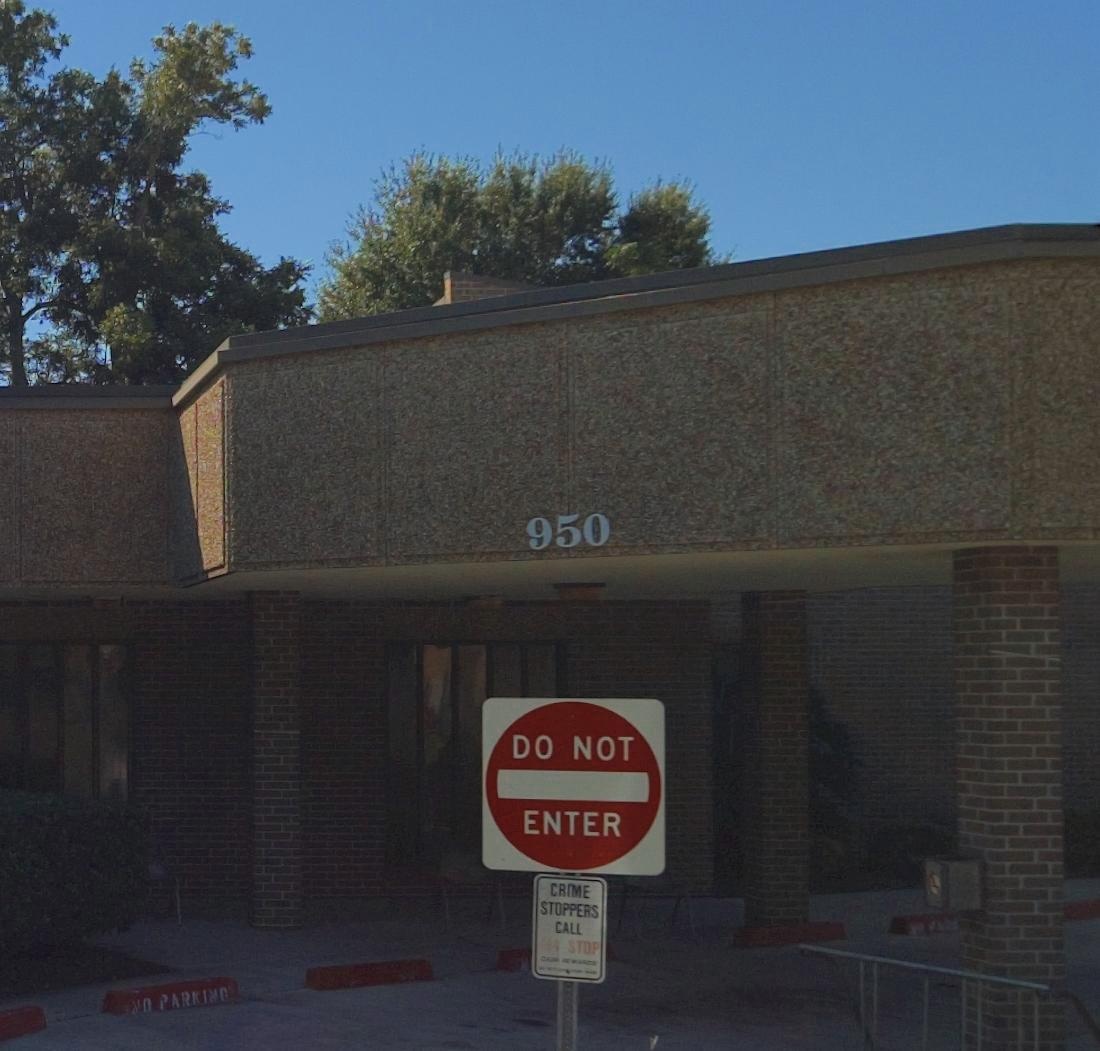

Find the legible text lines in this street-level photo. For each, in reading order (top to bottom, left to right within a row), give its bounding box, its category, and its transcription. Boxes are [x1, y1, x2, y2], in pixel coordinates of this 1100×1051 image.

[524, 509, 615, 554] StreetNumber: 950
[509, 730, 639, 766] None: DO NOT
[520, 806, 626, 841] None: ENTER
[547, 880, 593, 903] None: CRIME
[538, 897, 601, 923] None: STOPPERS
[553, 918, 586, 938] None: CALL
[566, 937, 602, 958] None: STOP
[140, 984, 233, 1017] None: O PARKING